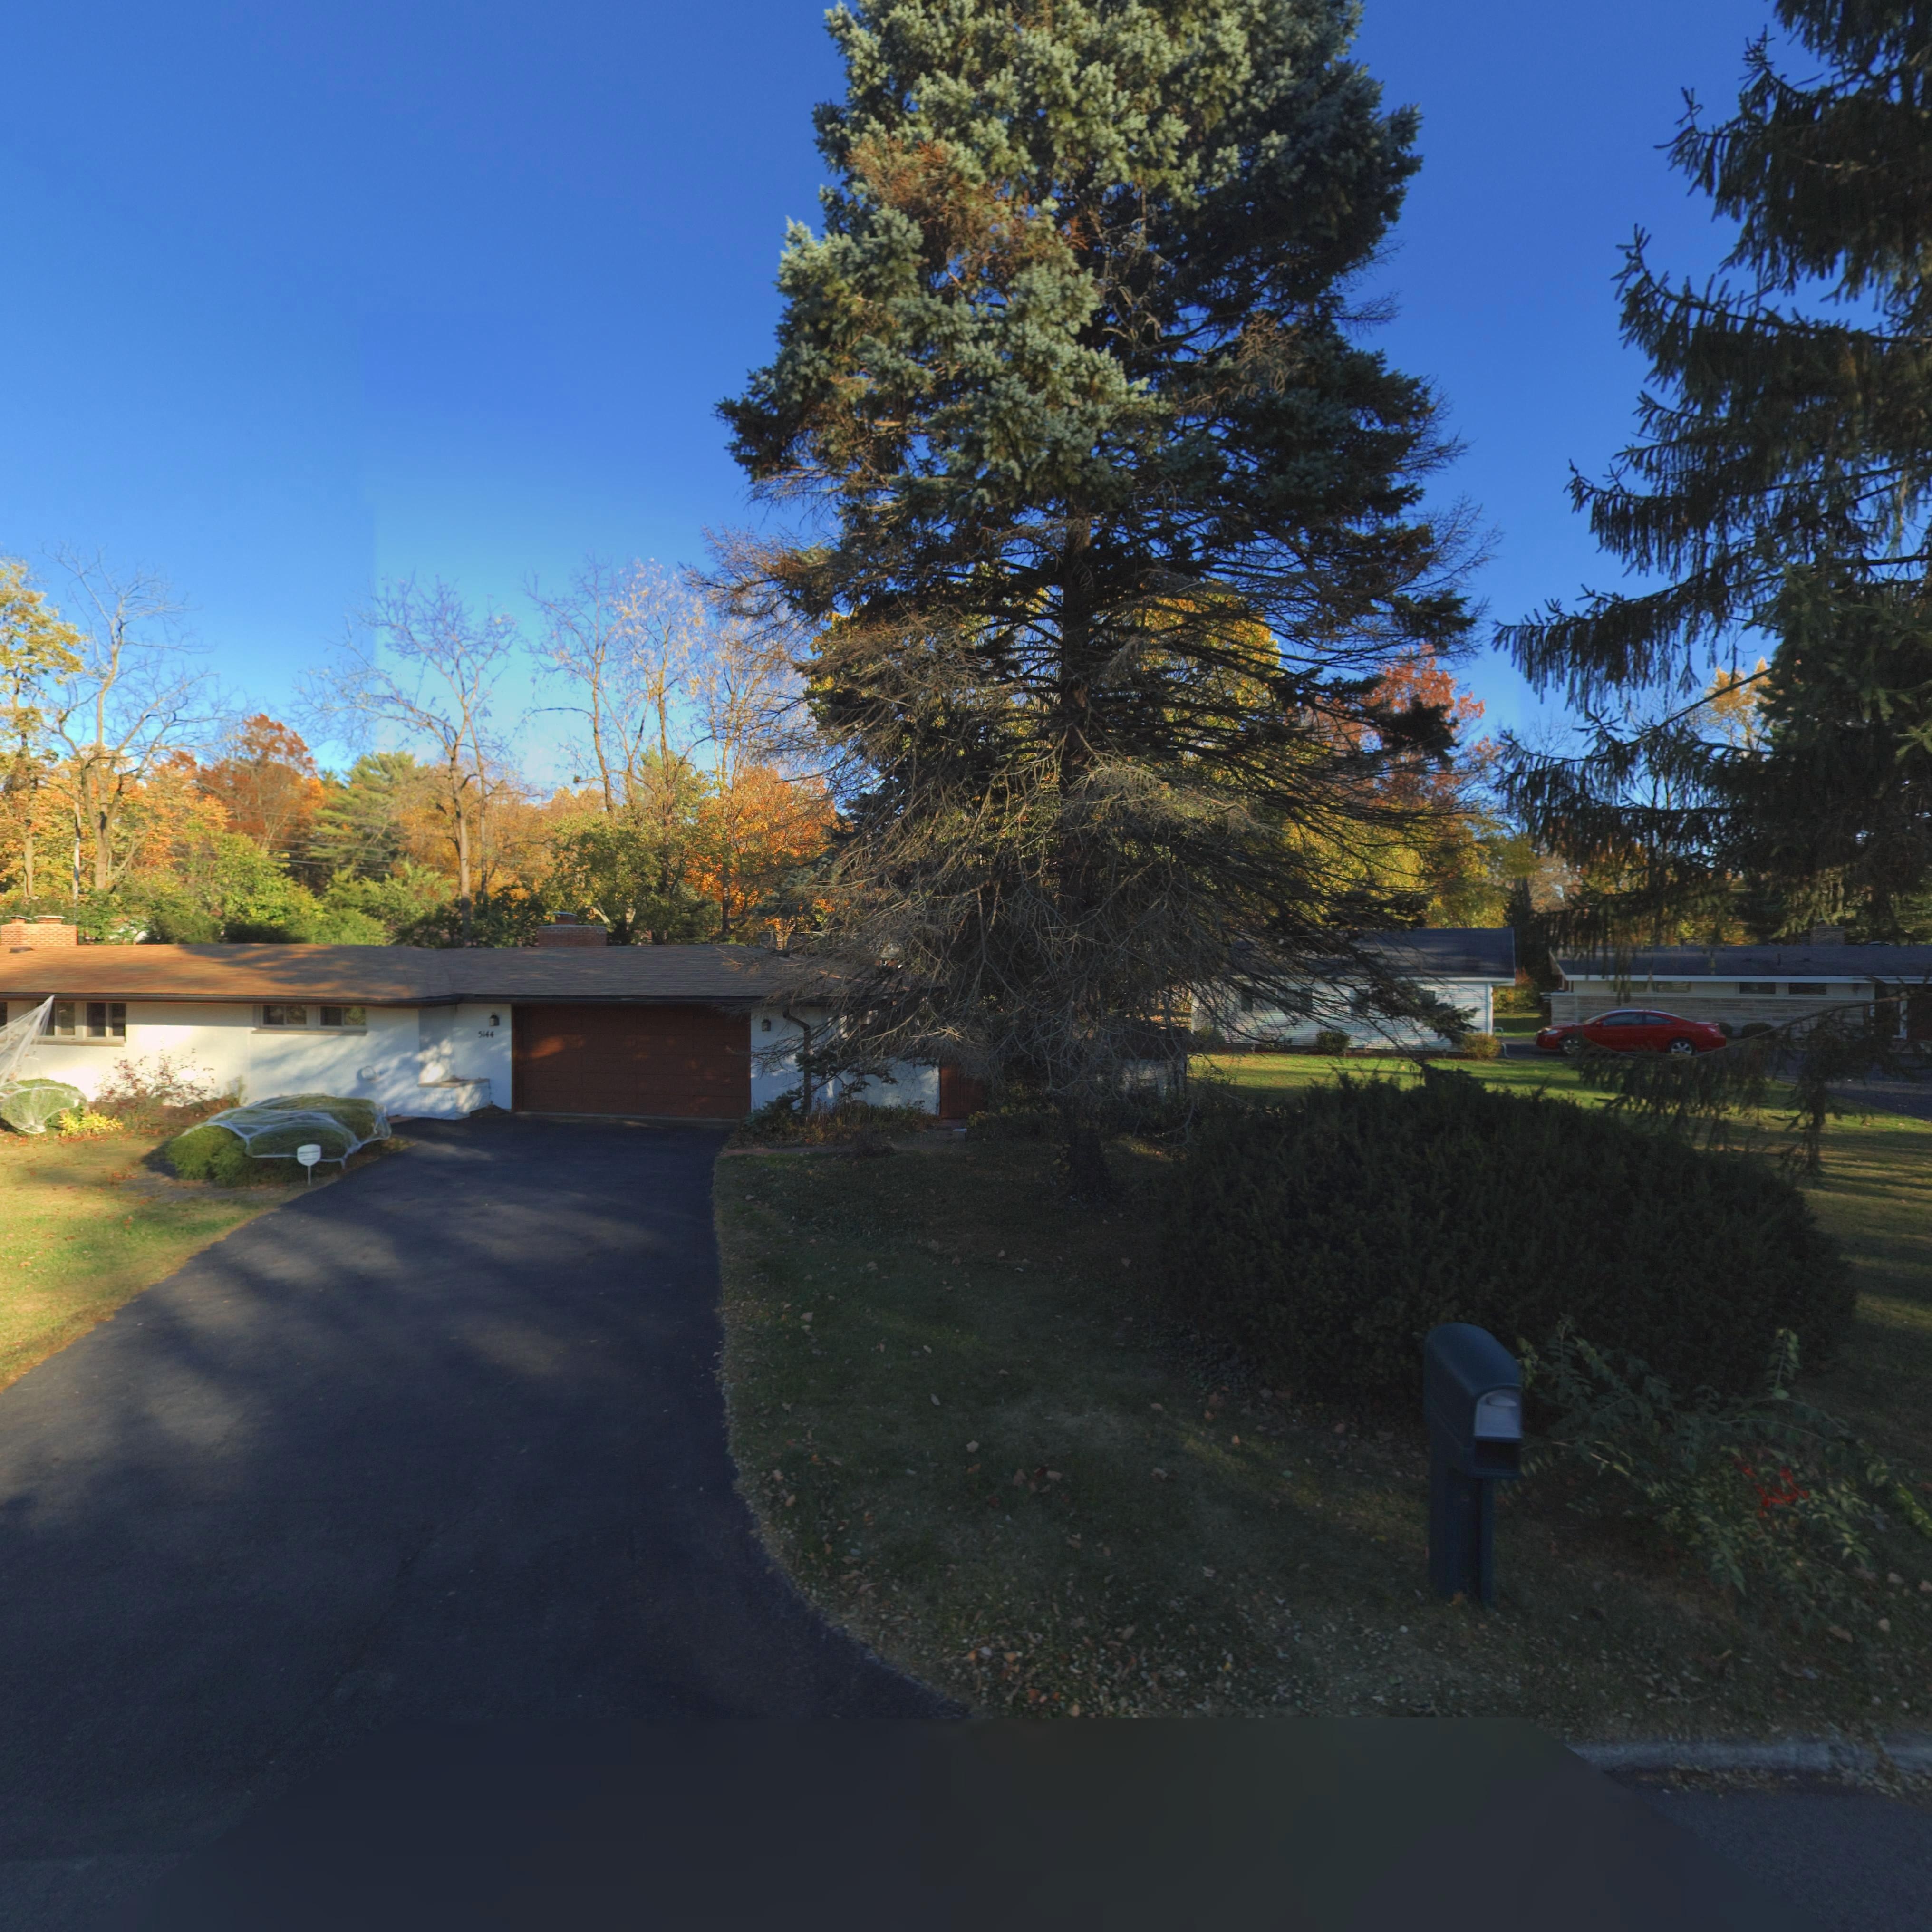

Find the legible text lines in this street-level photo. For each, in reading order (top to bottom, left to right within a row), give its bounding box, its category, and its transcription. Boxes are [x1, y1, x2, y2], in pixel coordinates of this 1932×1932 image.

[478, 1030, 494, 1039] StreetNumber: 5144